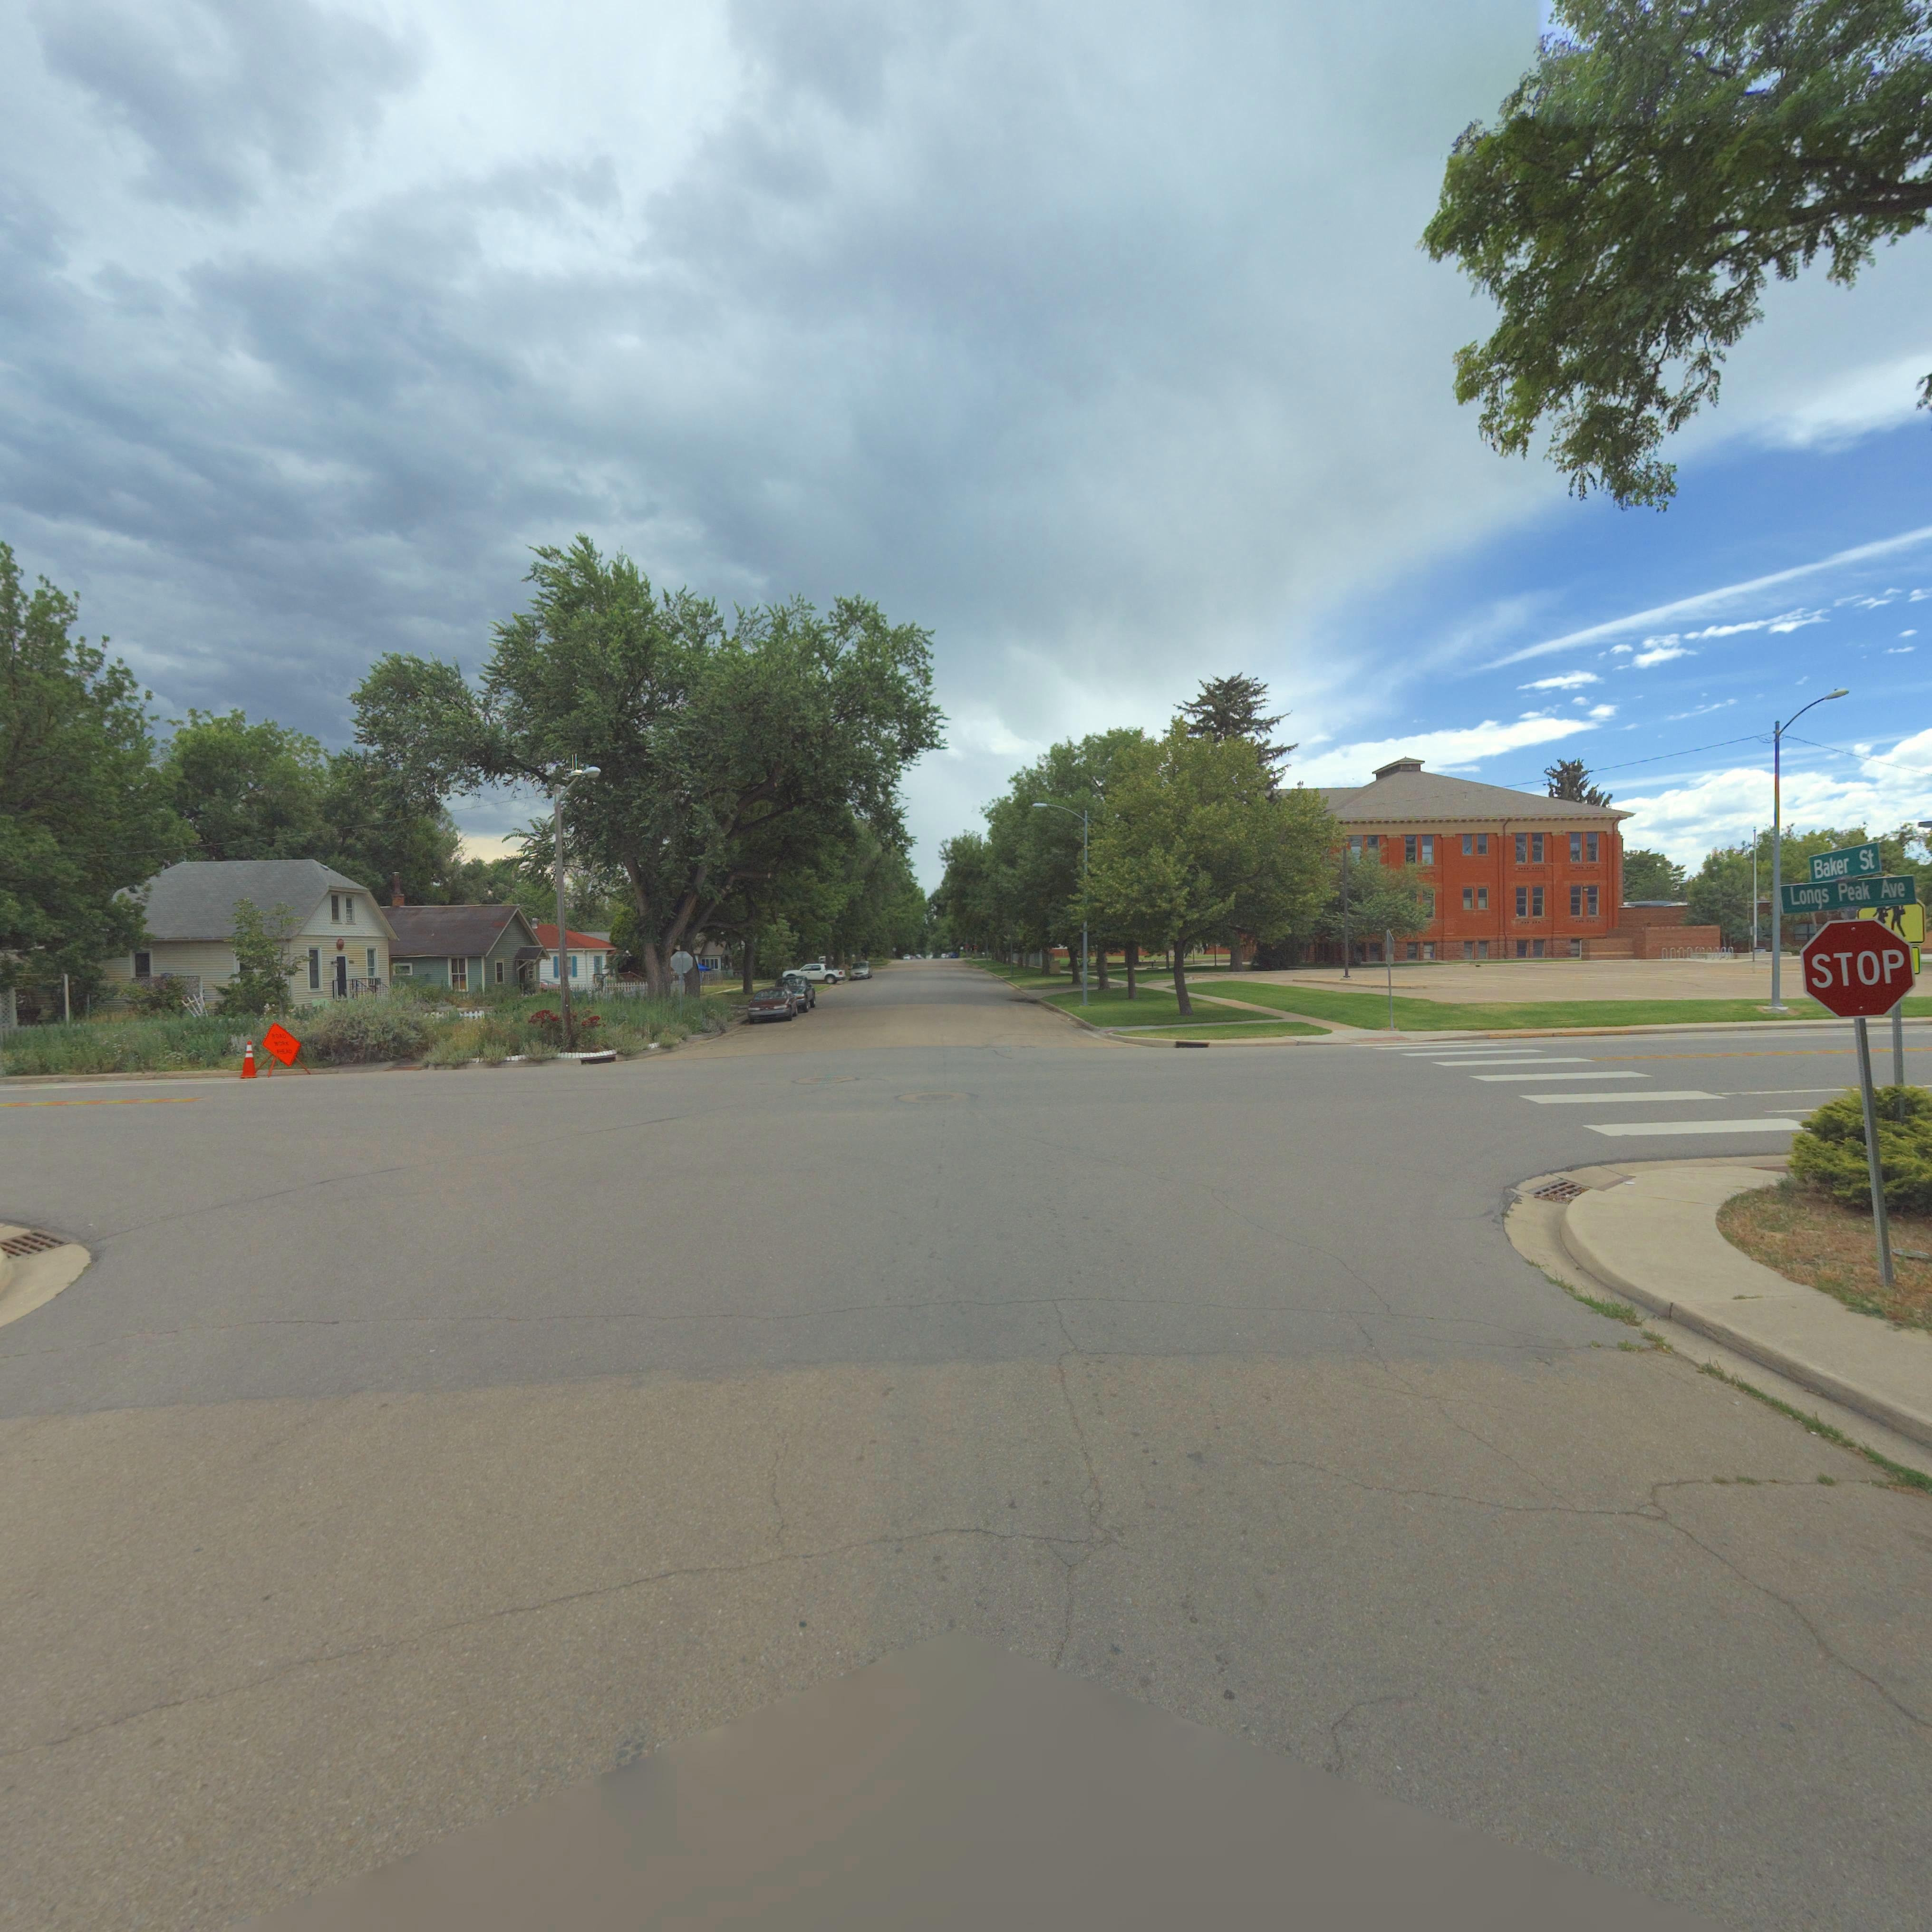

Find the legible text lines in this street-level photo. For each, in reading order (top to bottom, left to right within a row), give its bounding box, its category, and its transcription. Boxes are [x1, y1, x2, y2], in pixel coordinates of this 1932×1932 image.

[1812, 849, 1875, 879] StreetName: Baker St
[1789, 879, 1906, 910] StreetName: Longs Peak Ave